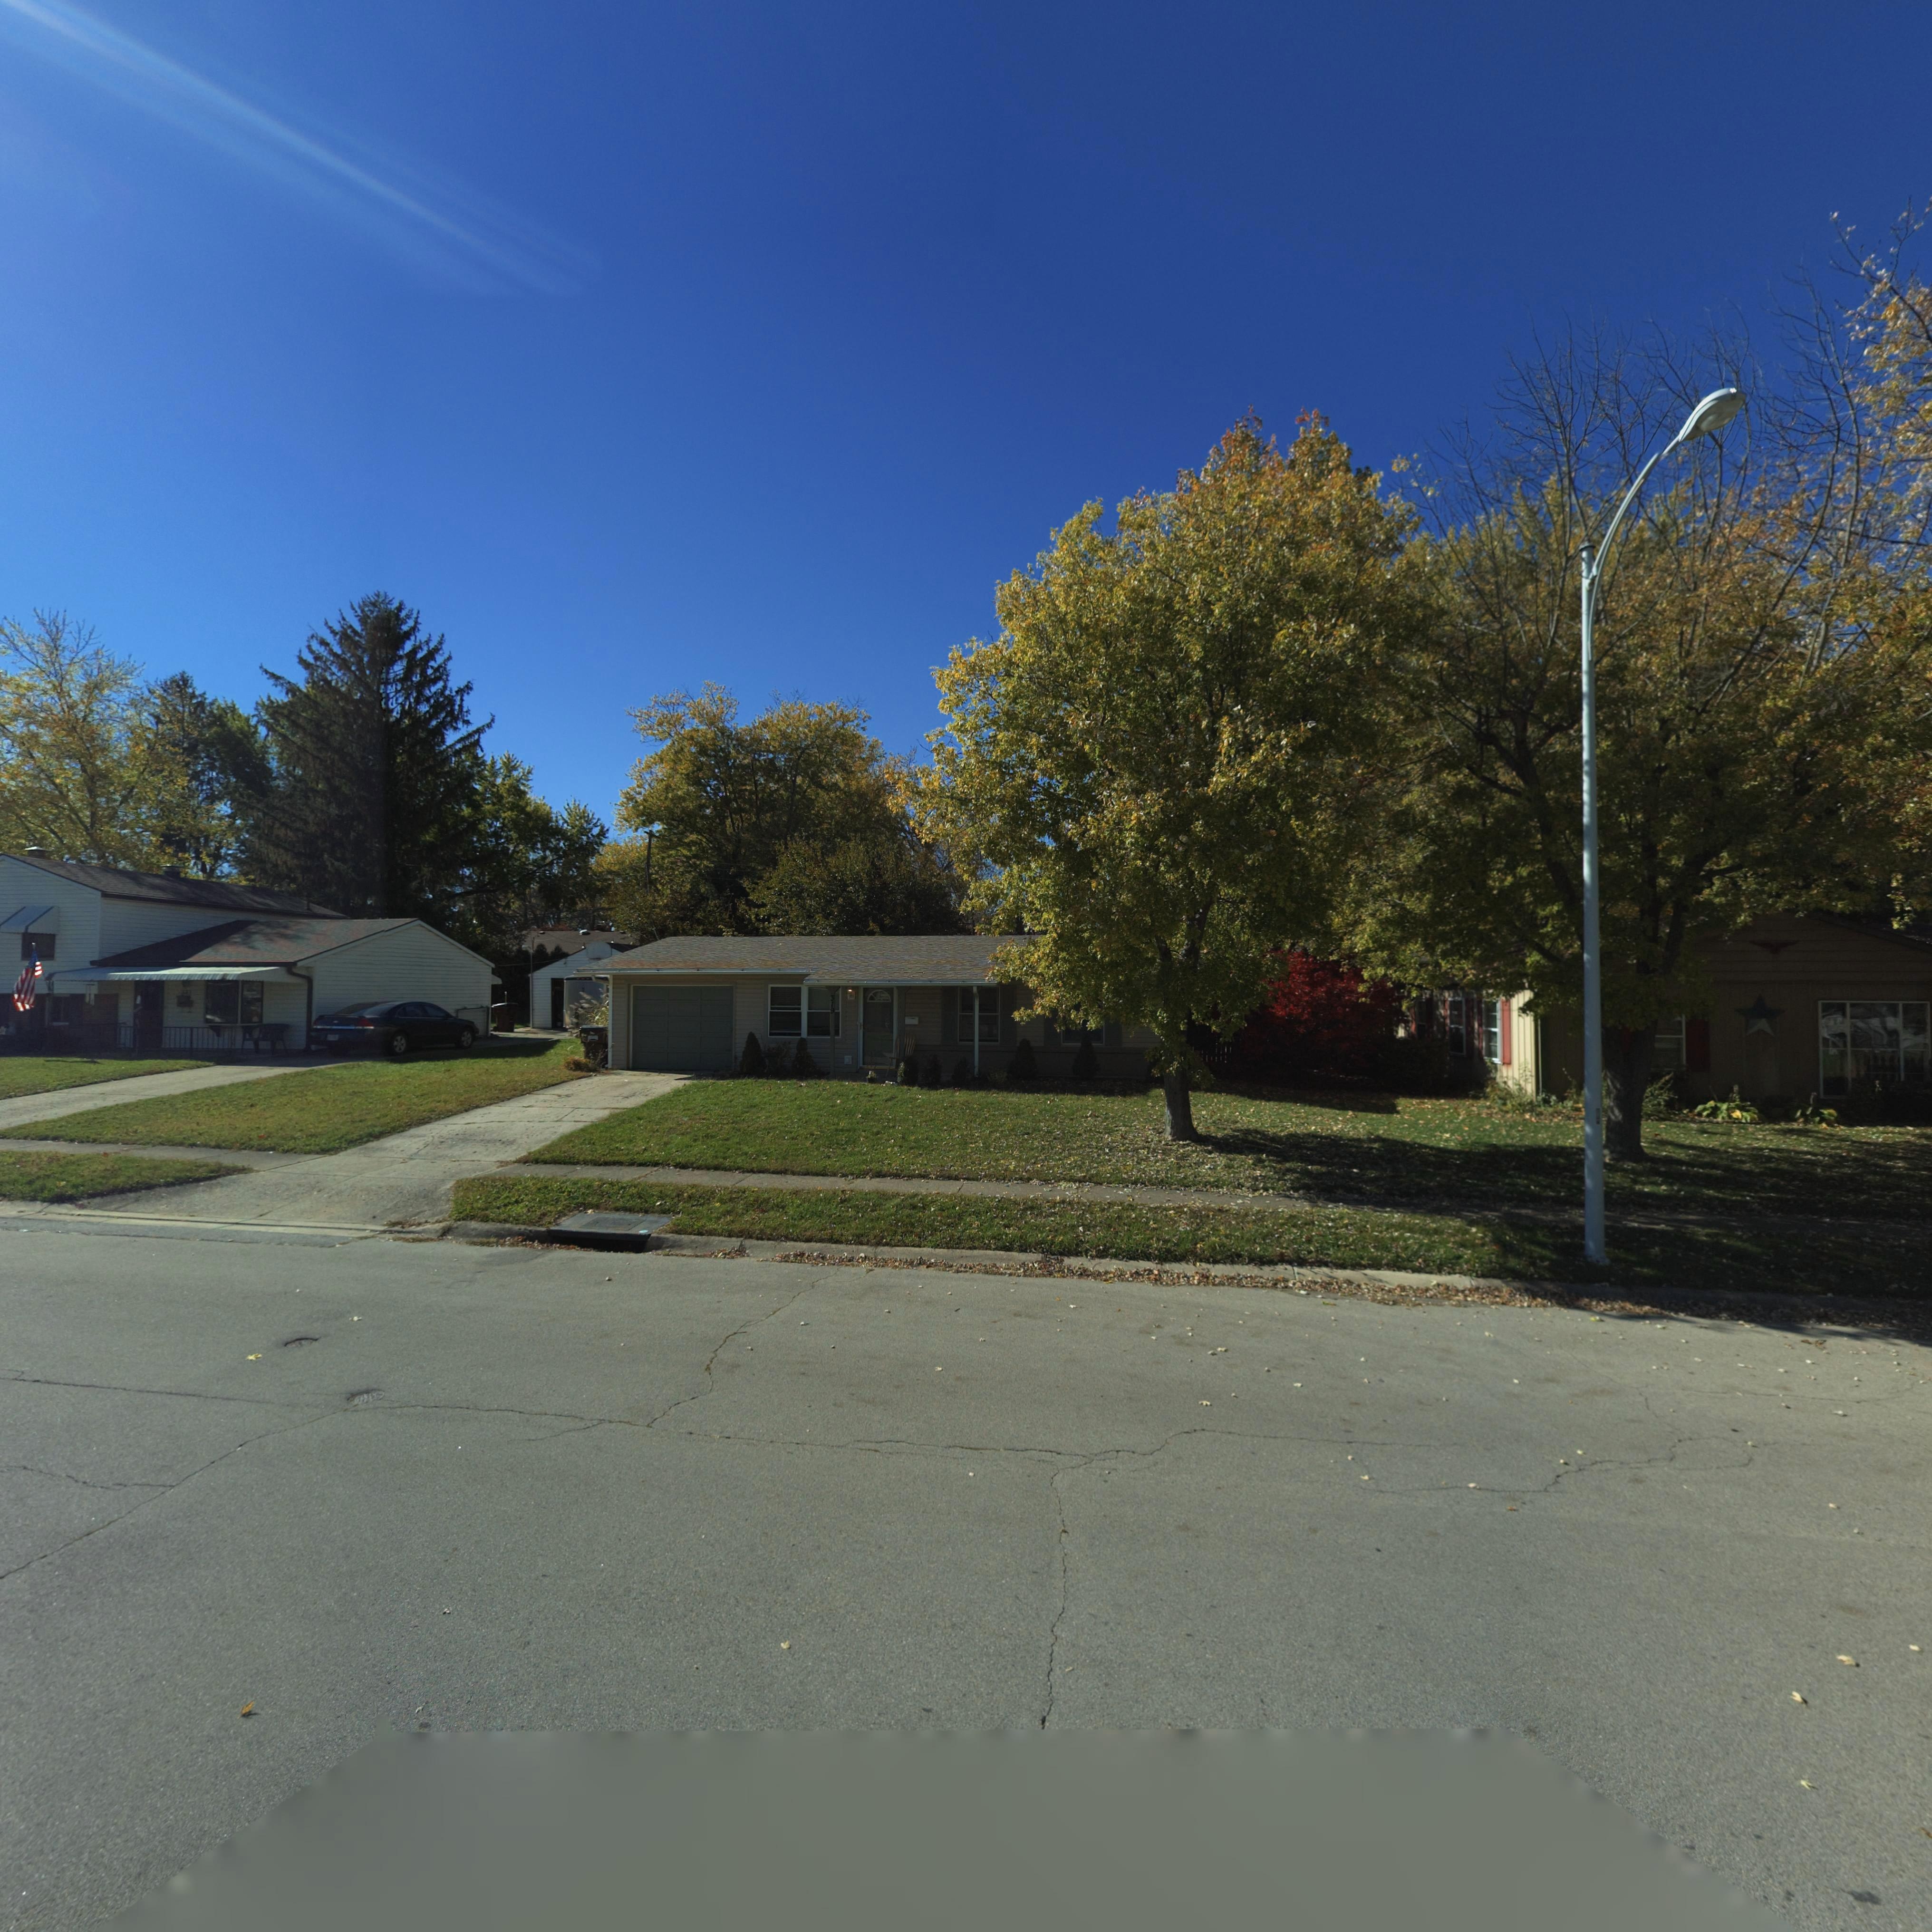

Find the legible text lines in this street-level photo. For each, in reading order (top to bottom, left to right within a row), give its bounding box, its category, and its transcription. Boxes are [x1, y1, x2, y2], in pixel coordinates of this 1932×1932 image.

[830, 995, 835, 1014] StreetNumber: 319